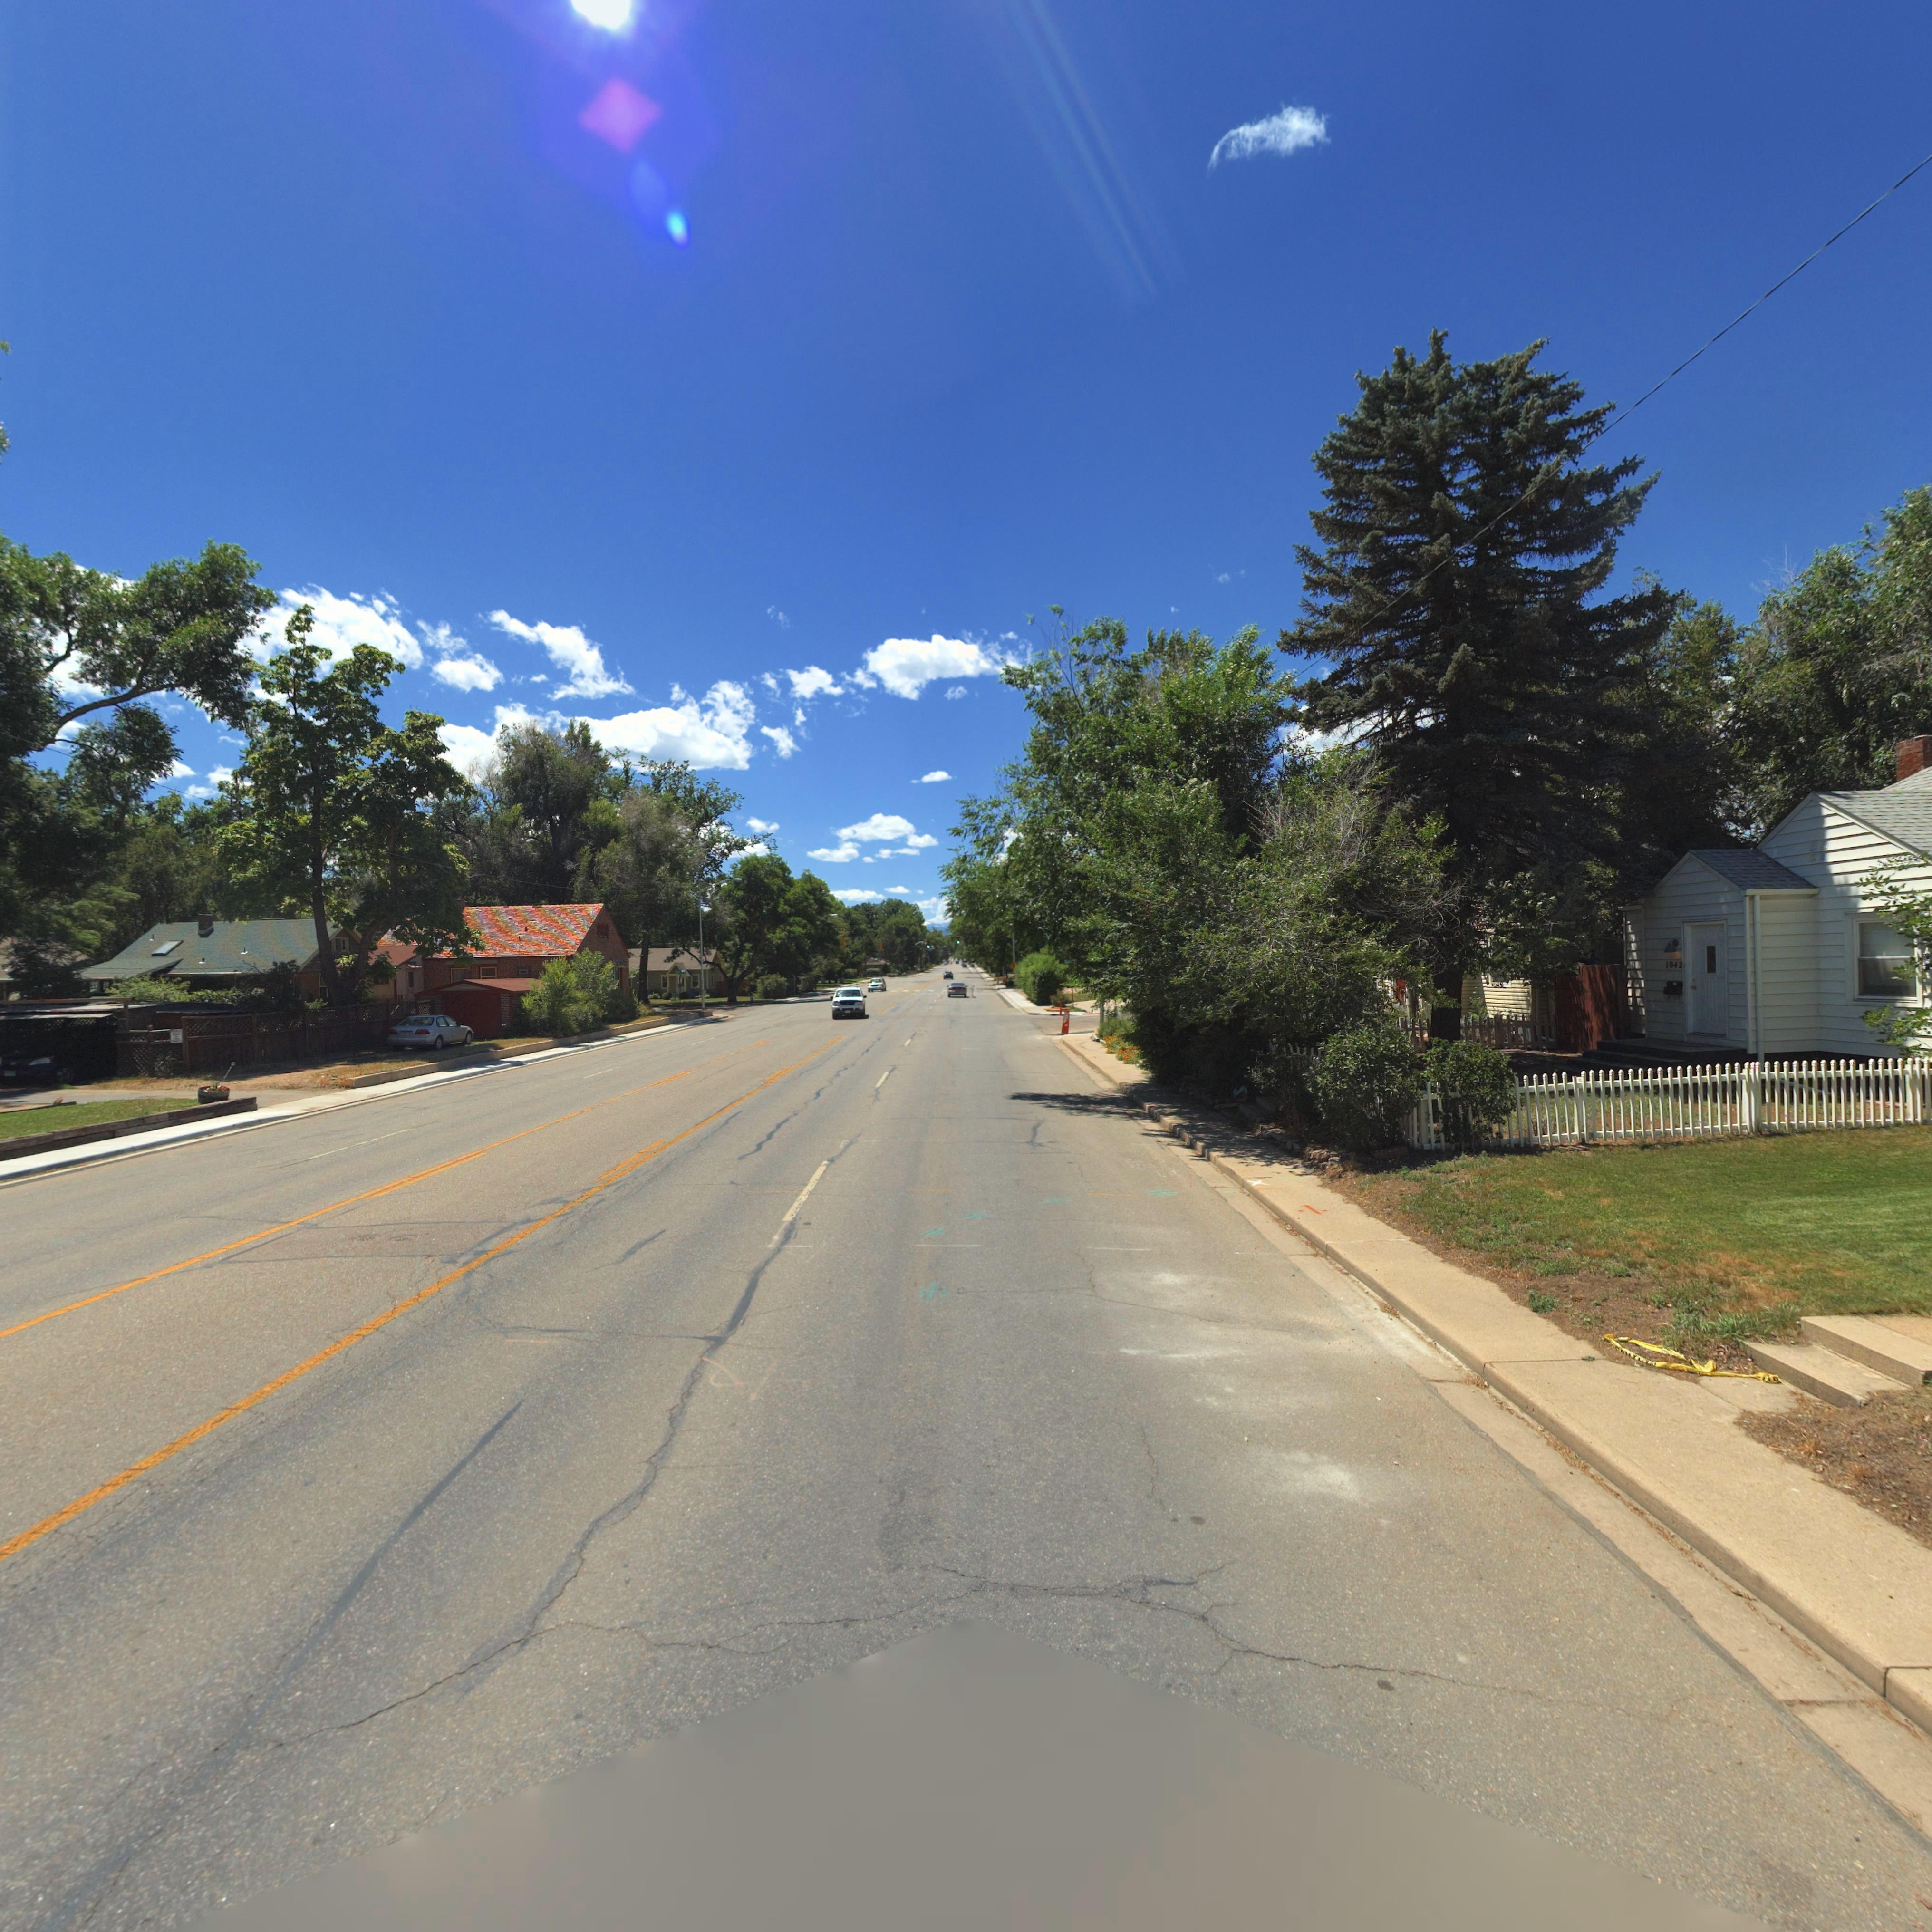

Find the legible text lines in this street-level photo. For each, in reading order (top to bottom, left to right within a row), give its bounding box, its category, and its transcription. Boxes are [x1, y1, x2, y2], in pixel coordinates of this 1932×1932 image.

[1665, 961, 1682, 968] StreetNumber: 1042